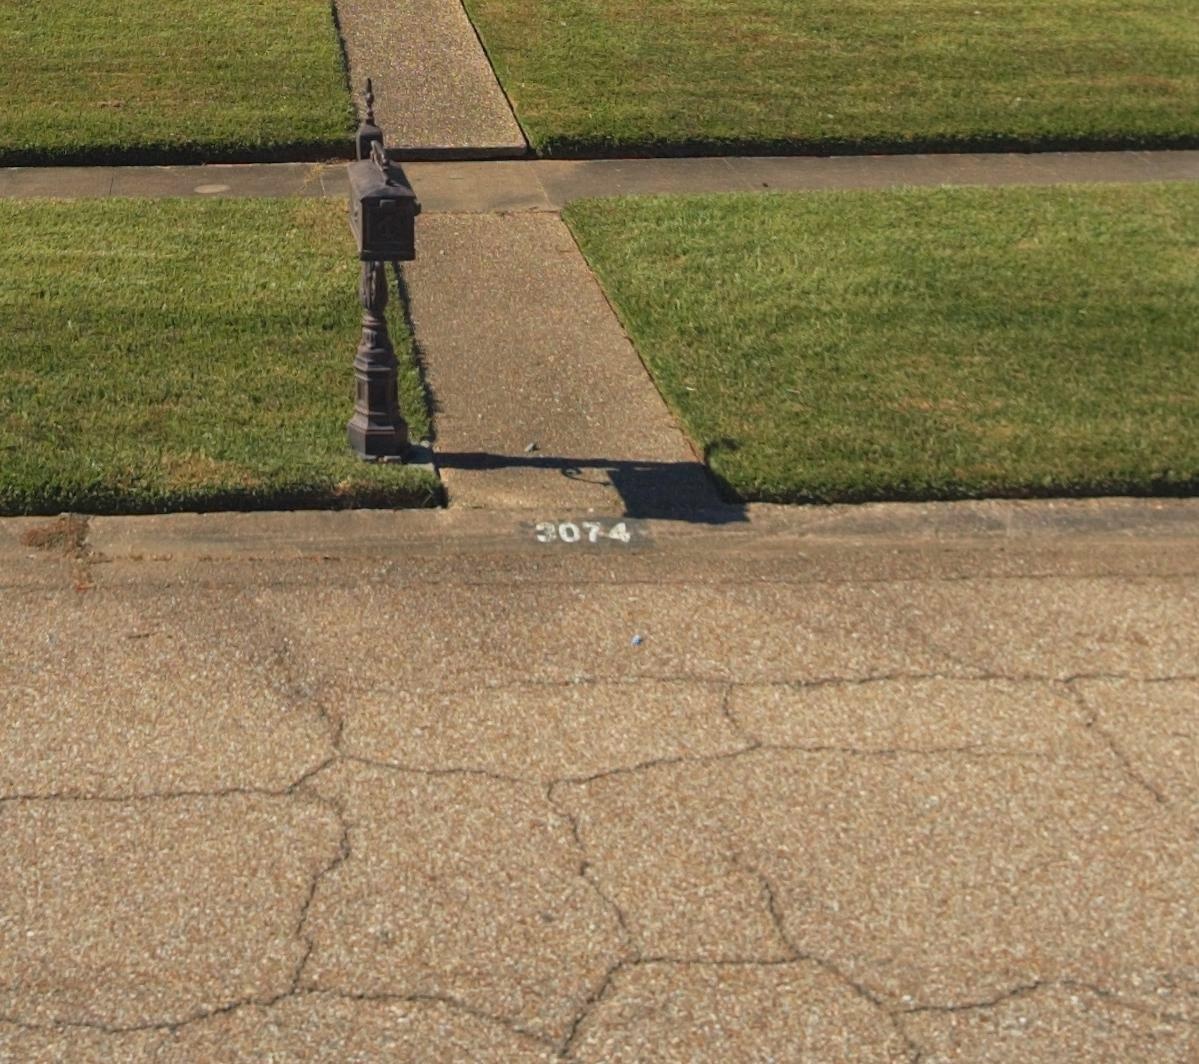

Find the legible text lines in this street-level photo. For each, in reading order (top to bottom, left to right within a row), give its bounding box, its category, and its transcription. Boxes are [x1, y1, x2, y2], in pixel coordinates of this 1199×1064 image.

[533, 518, 635, 546] StreetNumber: 3074